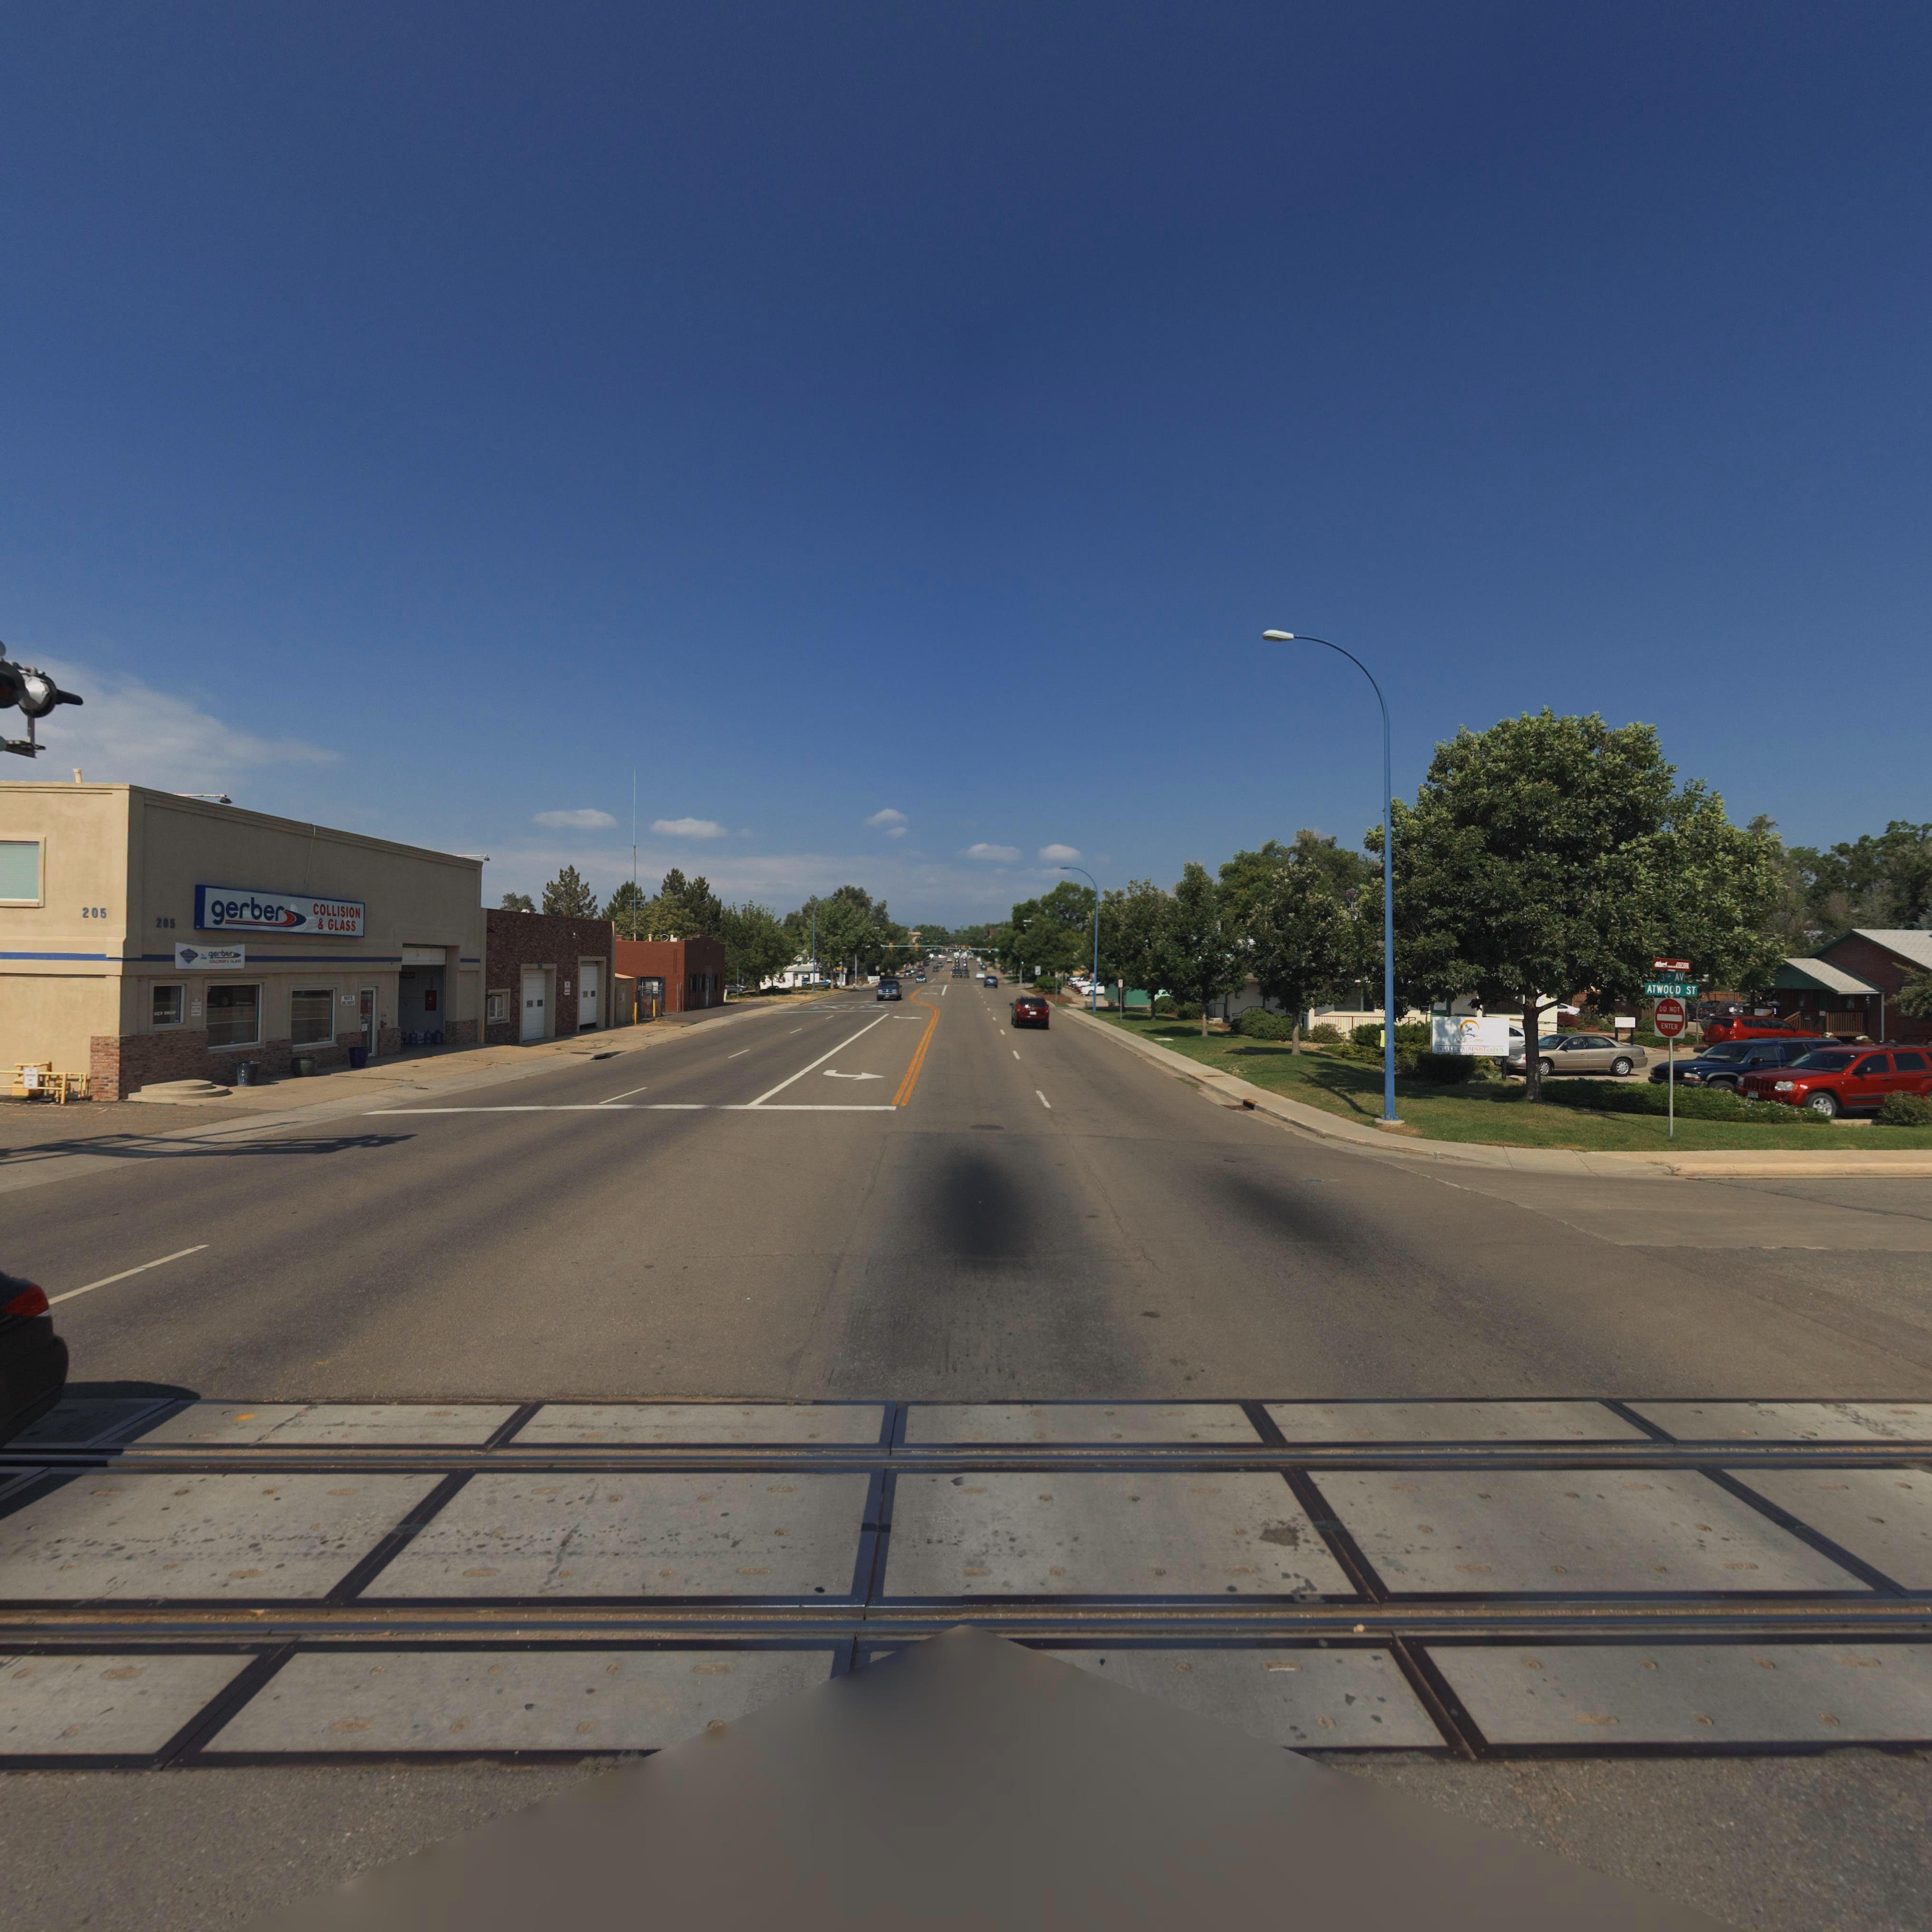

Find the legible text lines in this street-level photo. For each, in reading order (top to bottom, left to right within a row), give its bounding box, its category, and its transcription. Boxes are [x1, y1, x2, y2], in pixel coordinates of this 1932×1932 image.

[81, 906, 107, 919] StreetNumber: 205
[211, 896, 285, 925] BusinessName: gerber
[312, 902, 361, 919] BusinessName: COLLISION
[155, 917, 175, 929] StreetNumber: 205
[317, 917, 356, 932] BusinessName: * GLASS
[207, 949, 232, 959] BusinessName: gerber
[1660, 972, 1684, 981] StreetName: 3RD AV
[1646, 984, 1697, 995] StreetName: ATWOOD ST
[1454, 1036, 1485, 1043] BusinessName: OUR Ce***